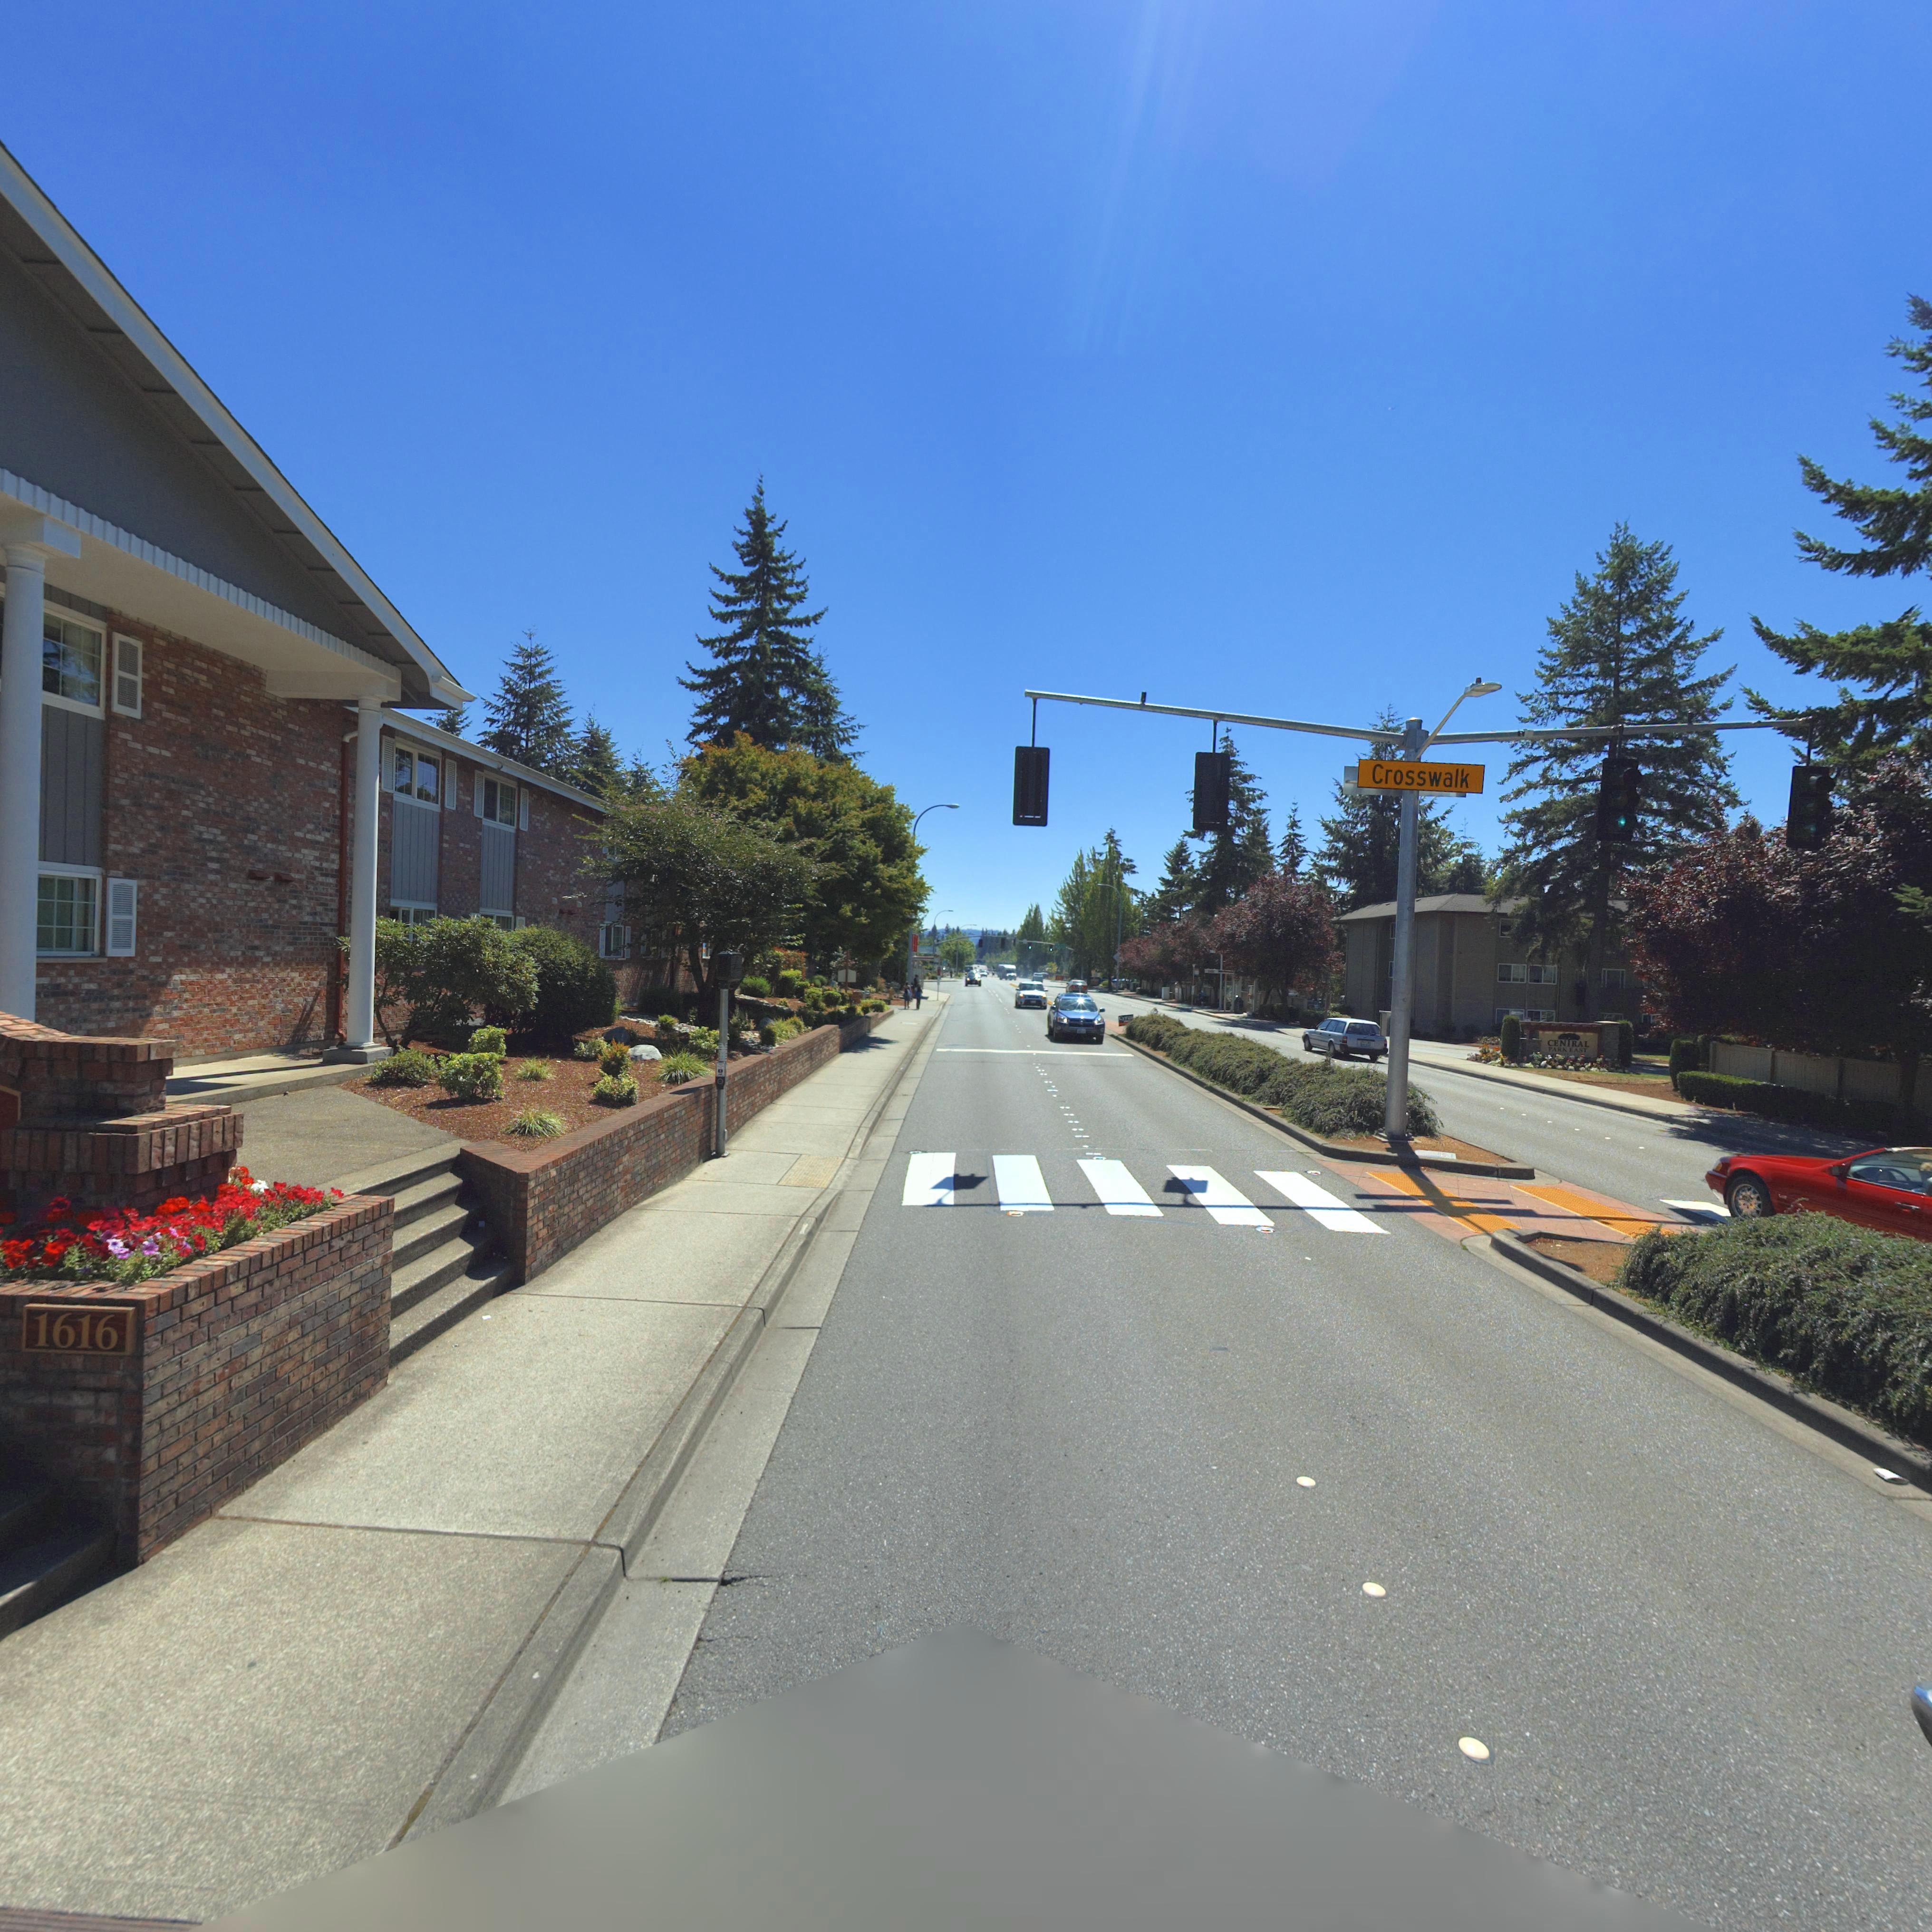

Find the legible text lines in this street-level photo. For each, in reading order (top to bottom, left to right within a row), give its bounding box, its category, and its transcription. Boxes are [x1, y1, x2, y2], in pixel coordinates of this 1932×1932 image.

[30, 1308, 123, 1354] StreetNumber: 1616